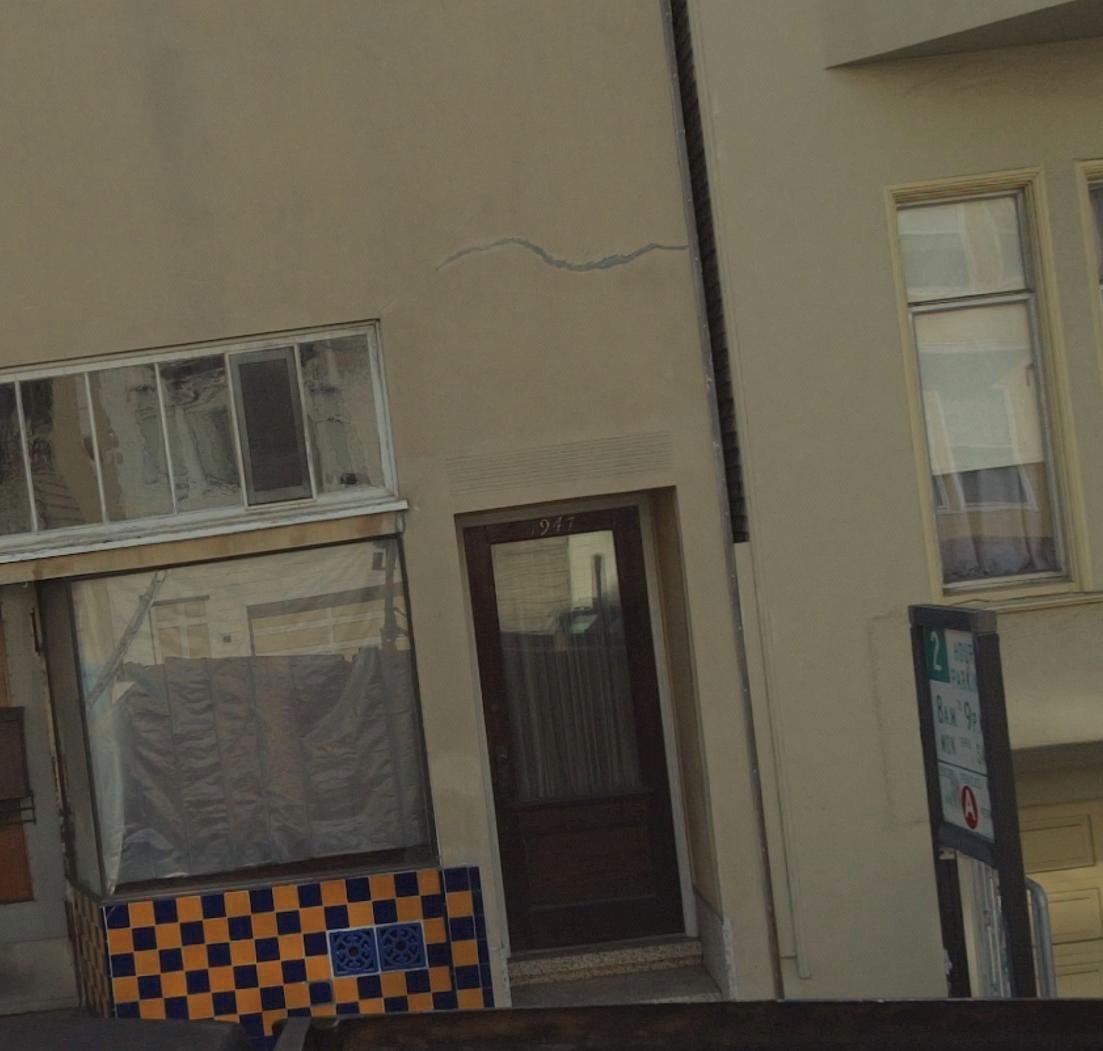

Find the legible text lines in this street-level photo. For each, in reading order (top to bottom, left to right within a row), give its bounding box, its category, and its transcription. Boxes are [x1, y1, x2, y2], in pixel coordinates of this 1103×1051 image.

[537, 512, 579, 538] StreetNumber: 941
[927, 630, 945, 674] None: 2
[934, 691, 979, 736] None: 8AM * 9P
[961, 787, 978, 823] None: A